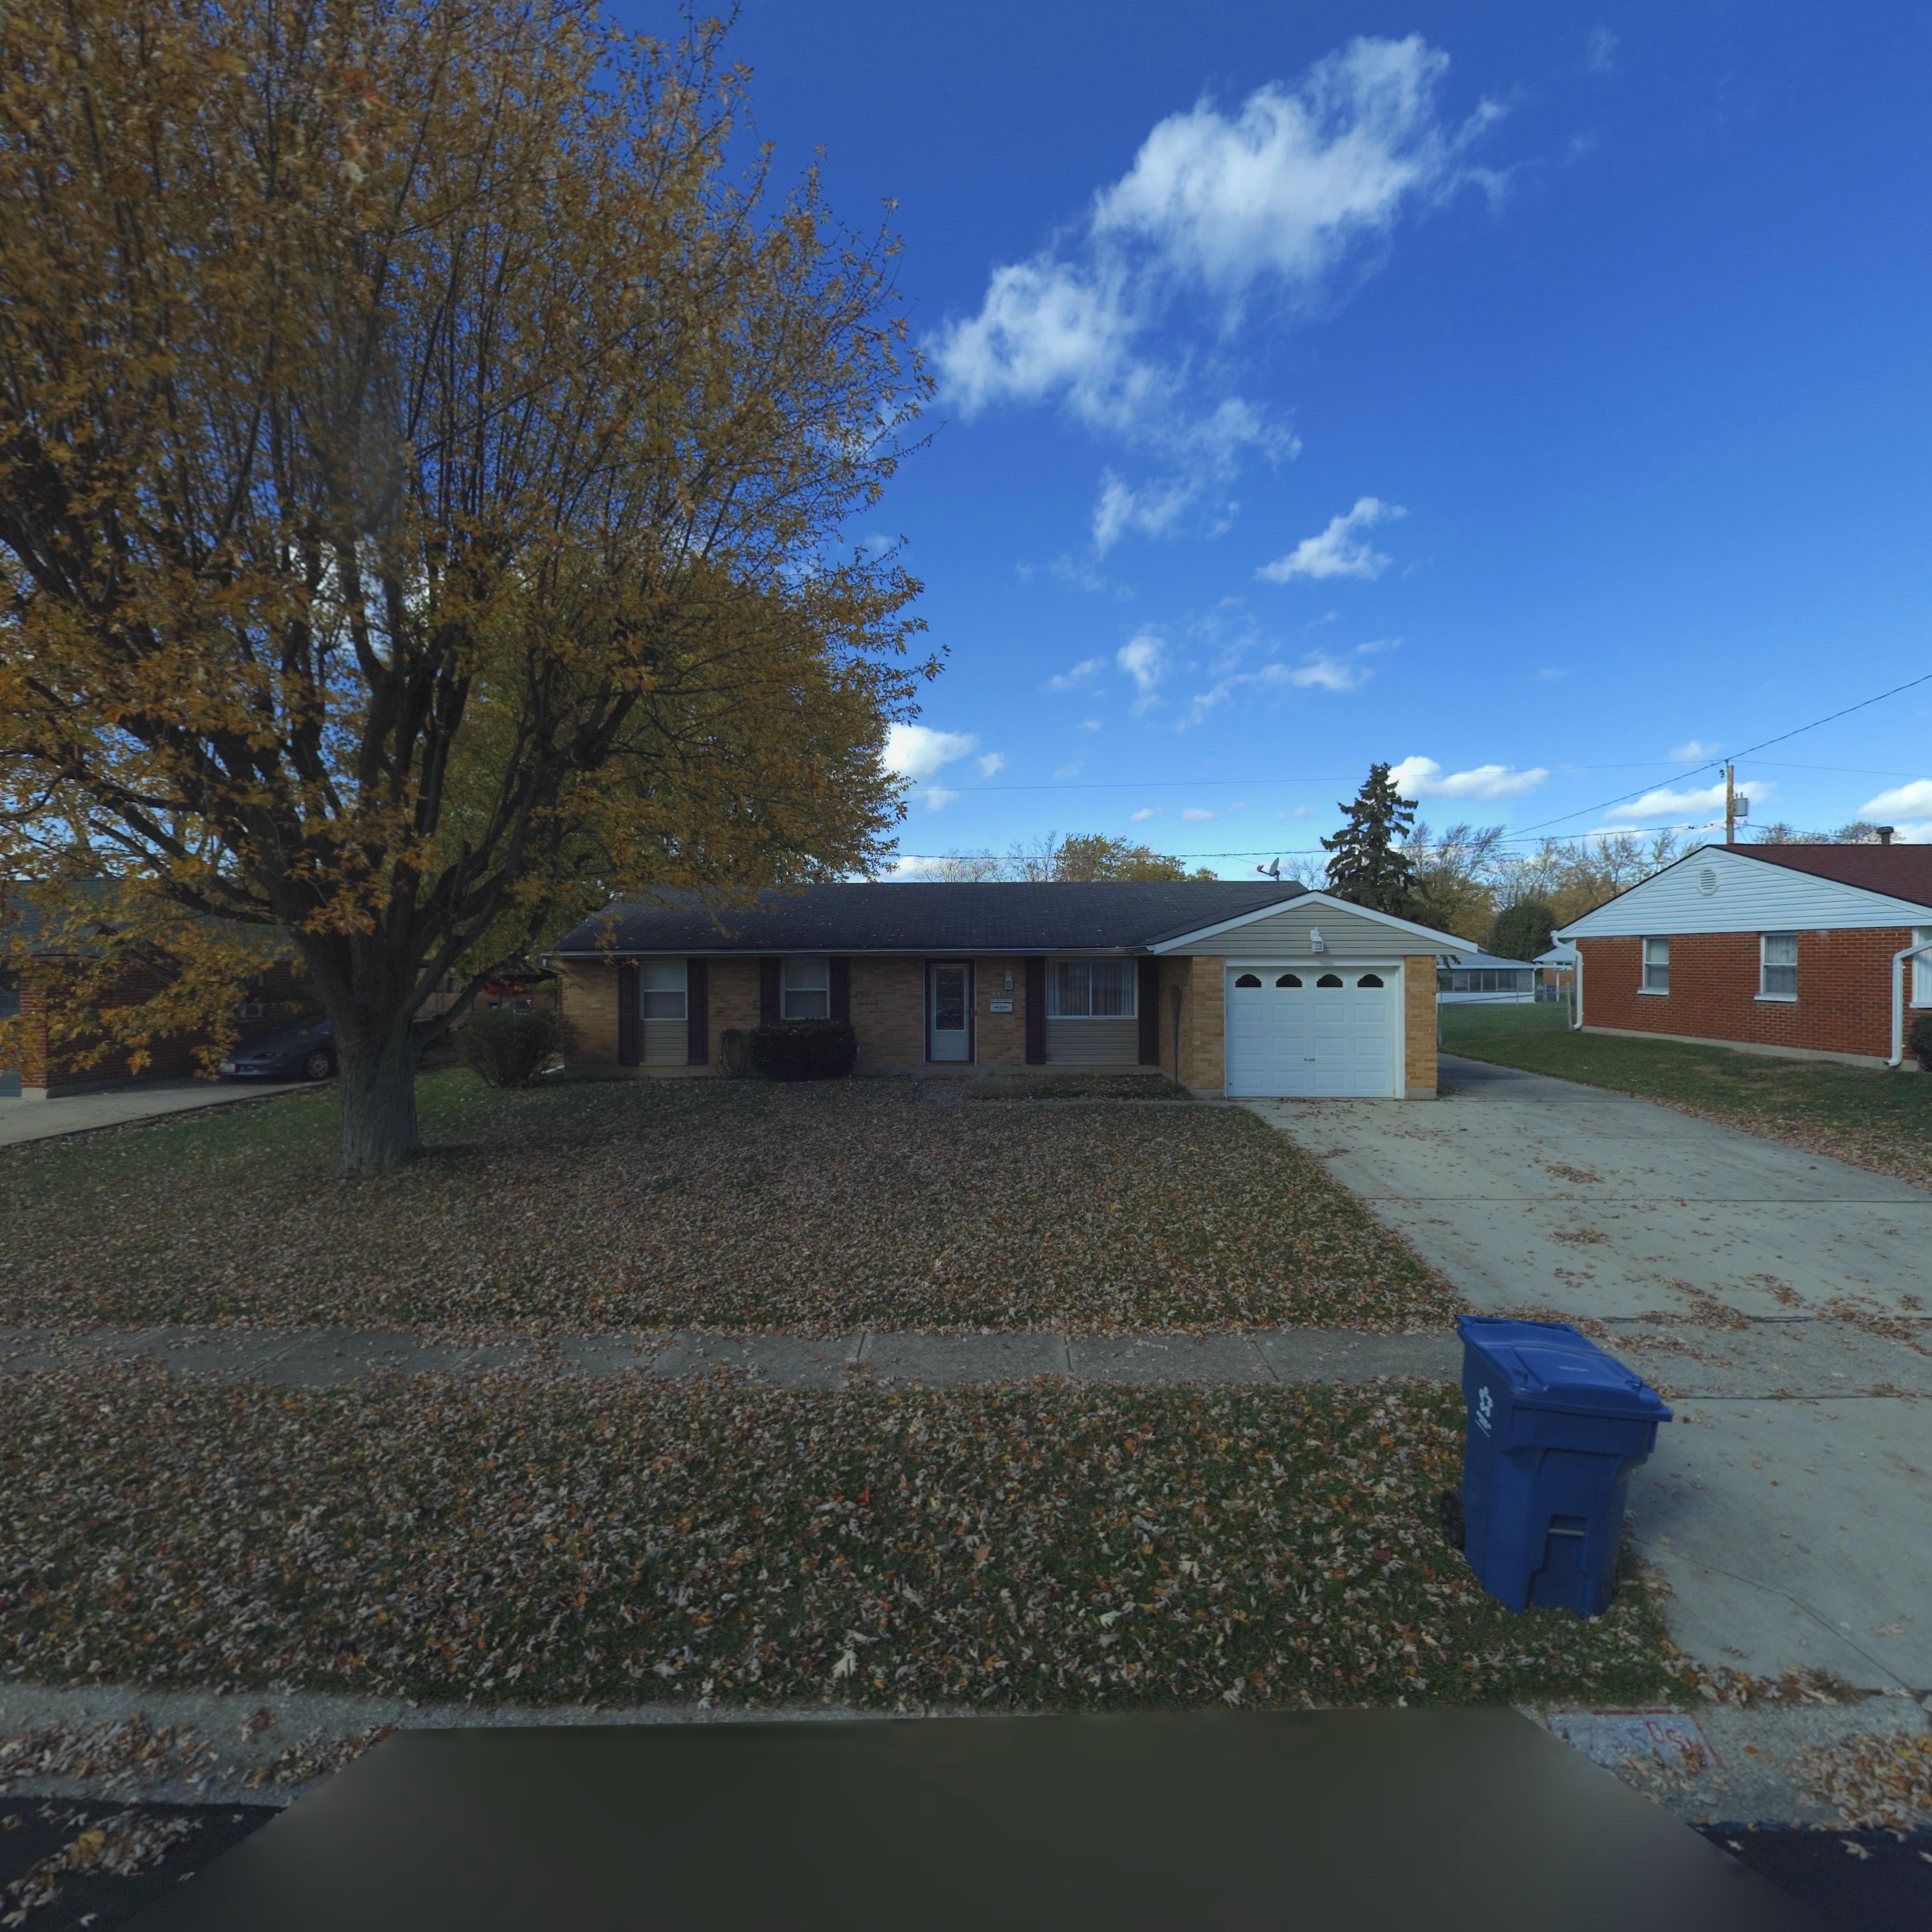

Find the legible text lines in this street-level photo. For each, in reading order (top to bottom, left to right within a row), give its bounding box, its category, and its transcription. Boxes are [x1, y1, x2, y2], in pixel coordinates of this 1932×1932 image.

[991, 991, 1011, 997] StreetNumber: 77**
[1578, 1726, 1652, 1755] StreetNumber: 755